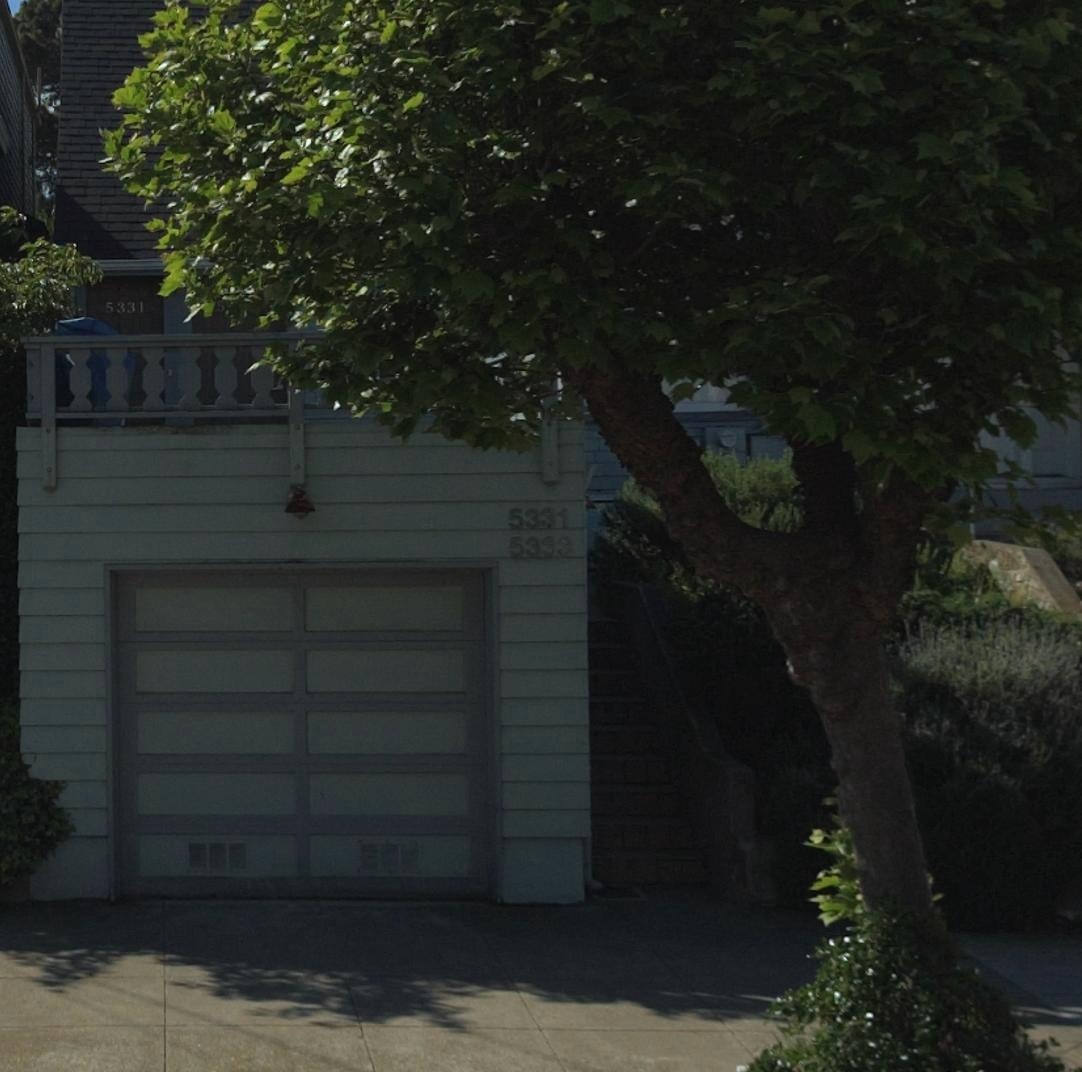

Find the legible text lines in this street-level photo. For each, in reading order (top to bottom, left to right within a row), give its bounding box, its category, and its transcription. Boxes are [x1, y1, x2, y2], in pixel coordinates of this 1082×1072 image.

[508, 505, 571, 530] StreetNumber: 5331
[508, 535, 573, 559] StreetNumber: 5333